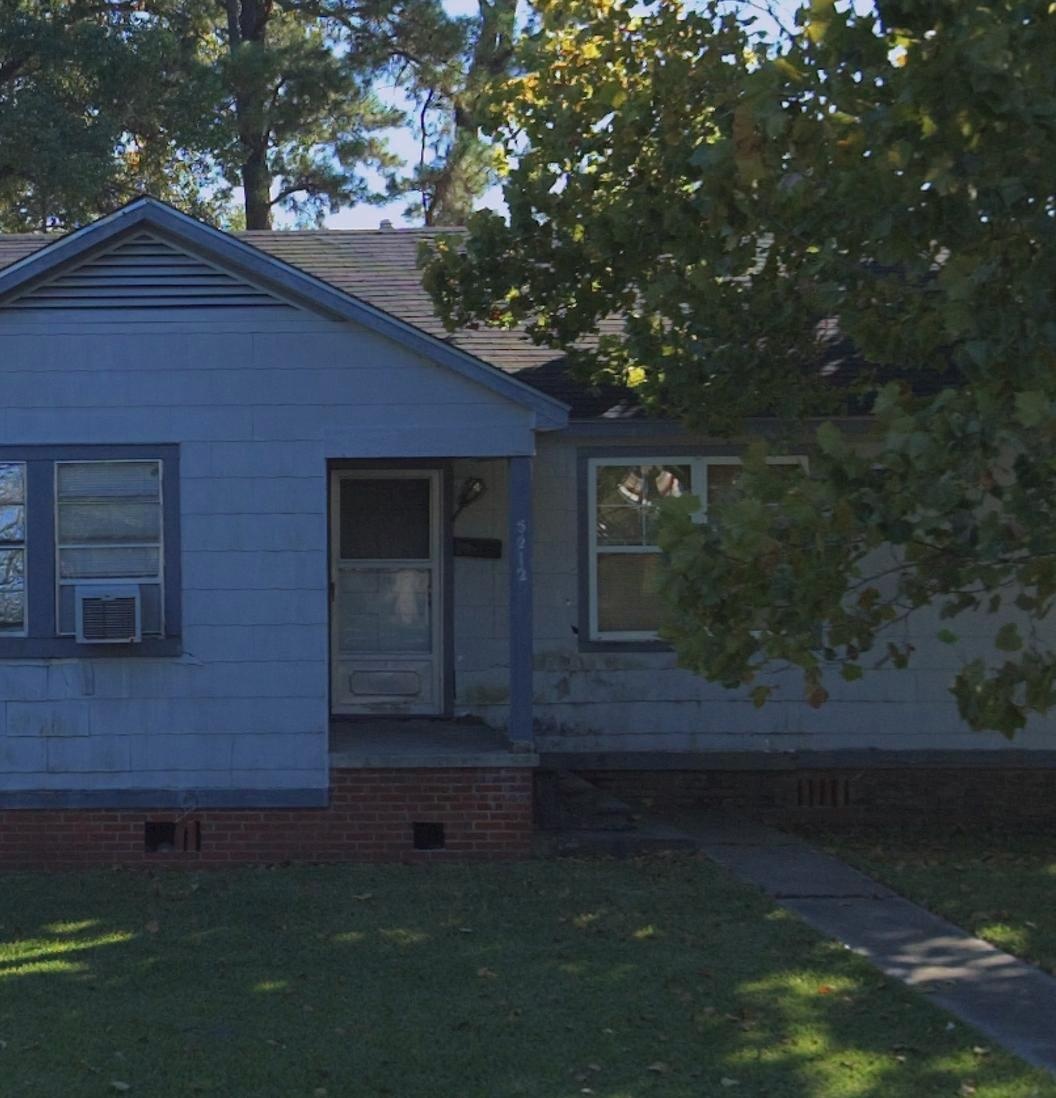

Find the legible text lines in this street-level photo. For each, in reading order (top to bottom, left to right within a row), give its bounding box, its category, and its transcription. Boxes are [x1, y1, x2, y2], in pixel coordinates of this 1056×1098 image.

[515, 517, 530, 583] StreetNumber: 5212